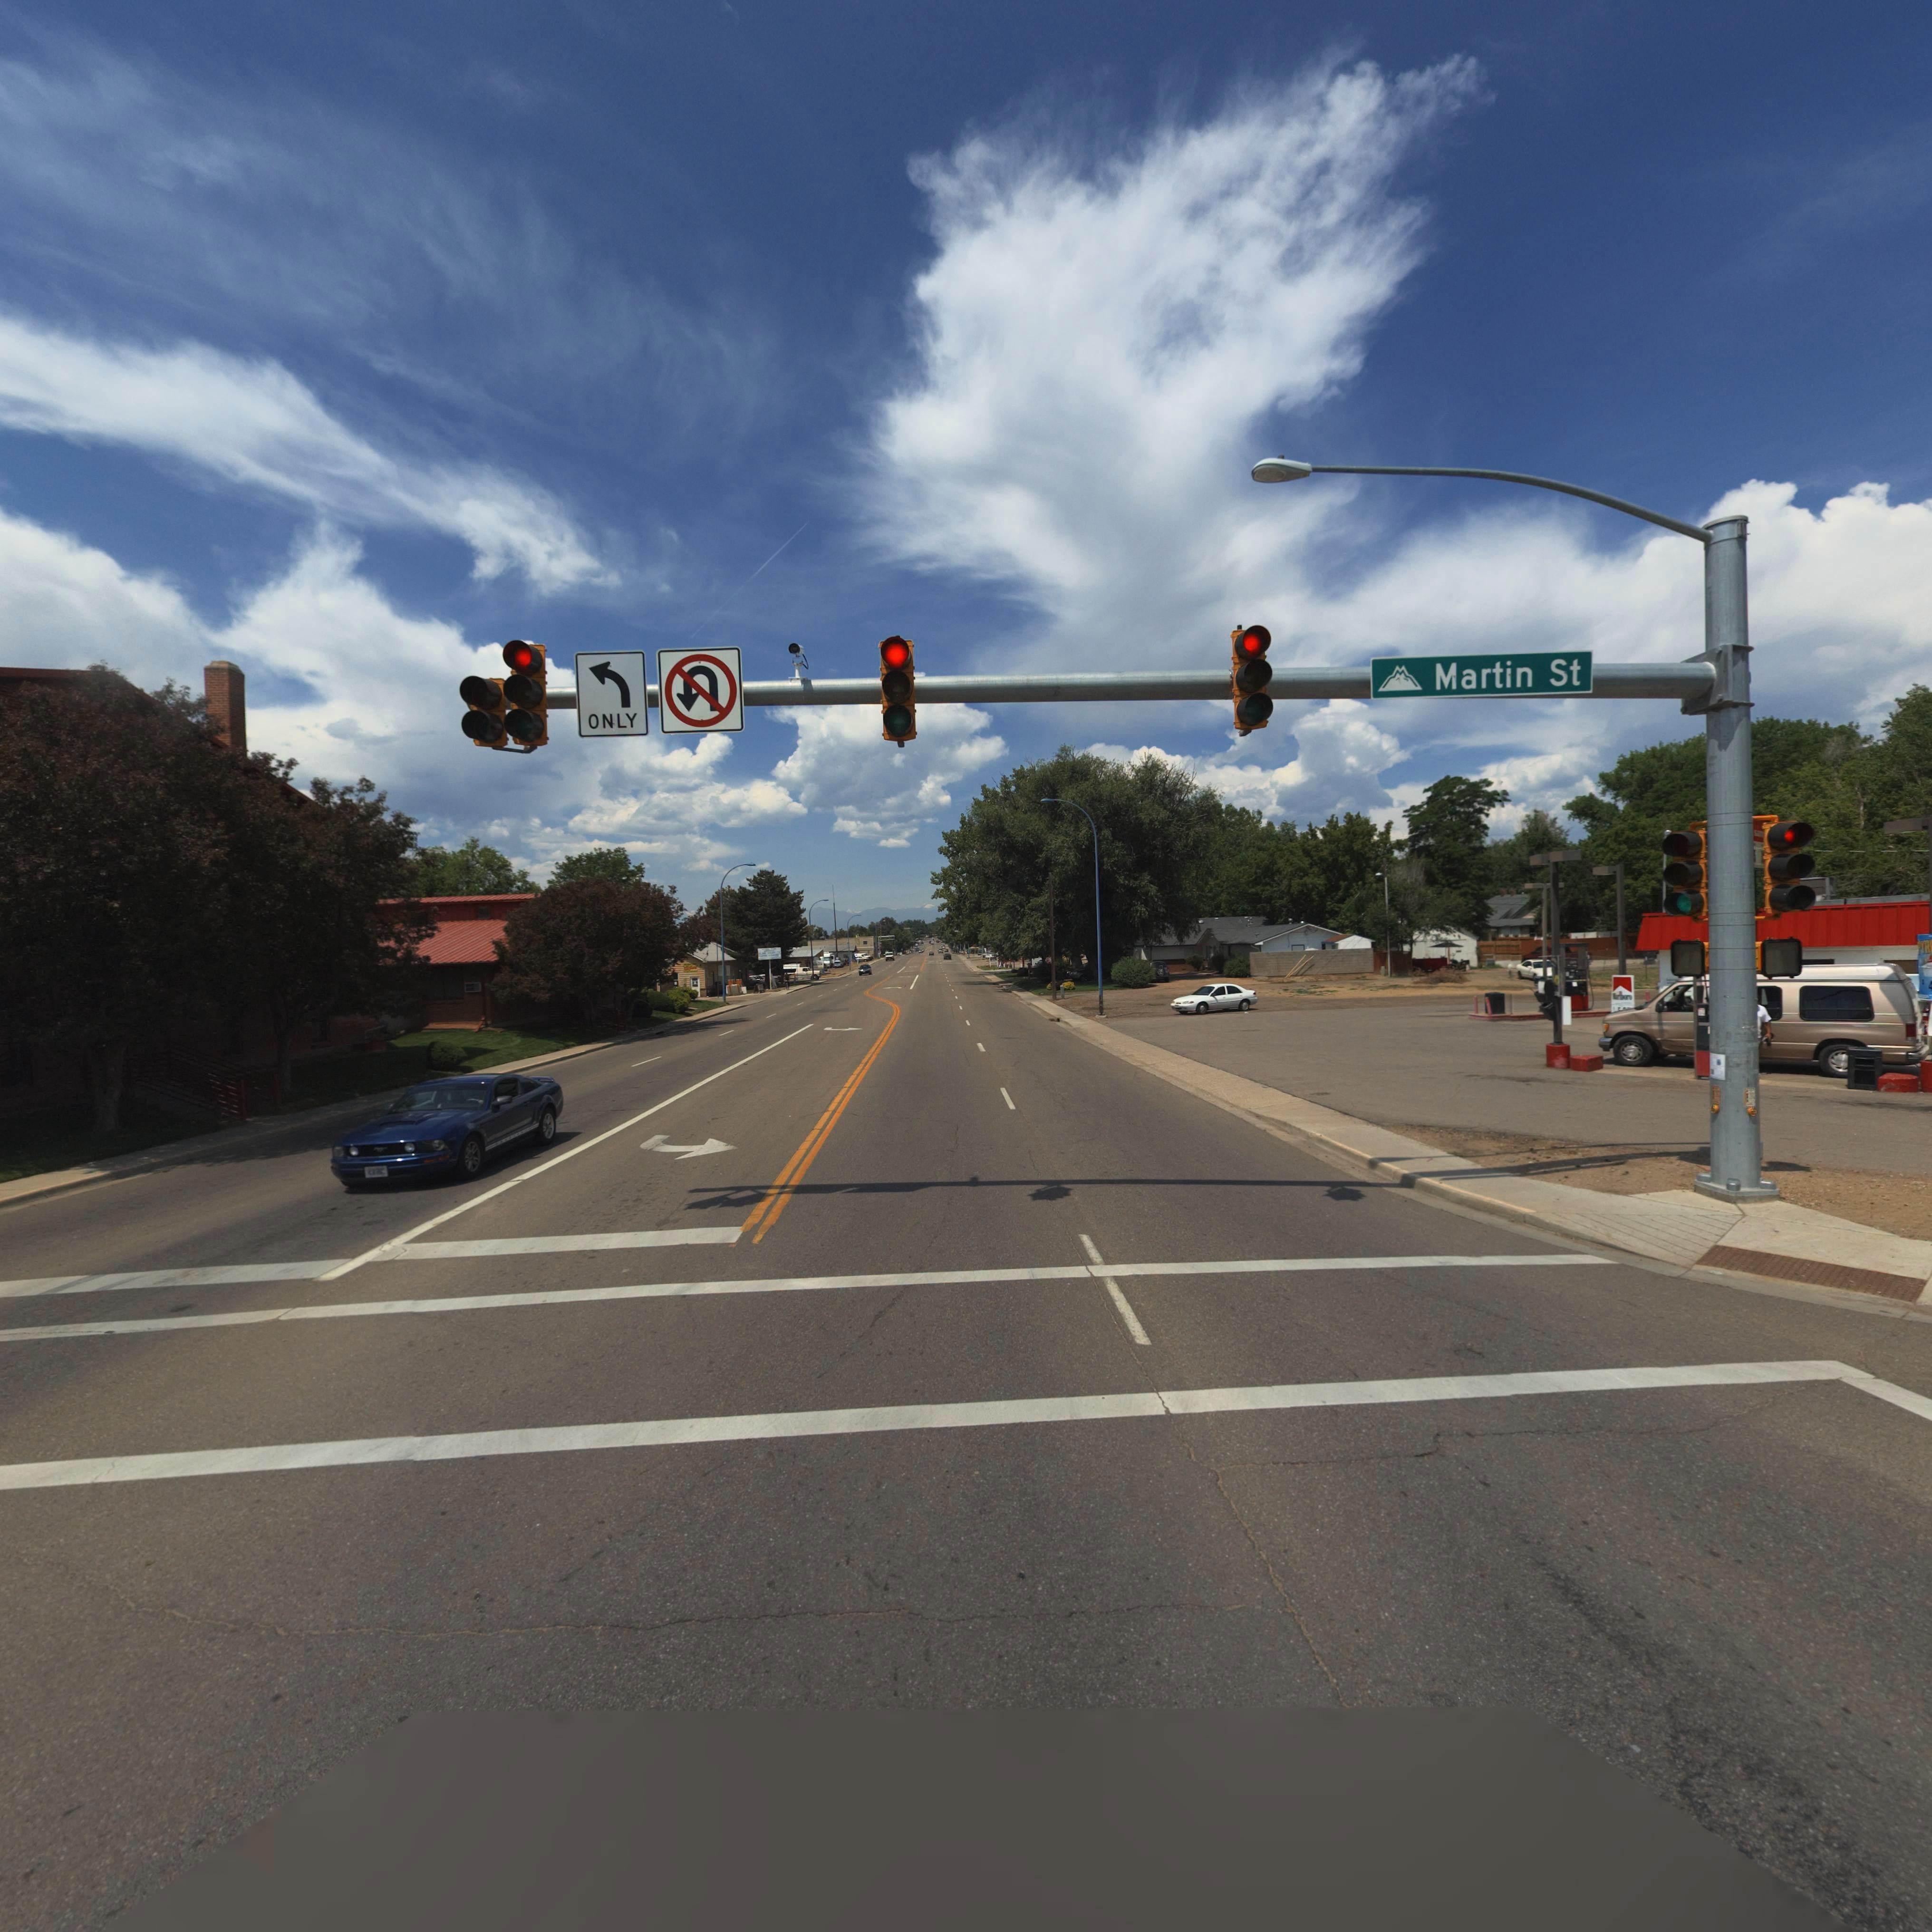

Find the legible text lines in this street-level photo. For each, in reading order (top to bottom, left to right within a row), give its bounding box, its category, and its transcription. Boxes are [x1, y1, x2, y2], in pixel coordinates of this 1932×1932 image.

[1435, 657, 1581, 690] StreetName: Martin St